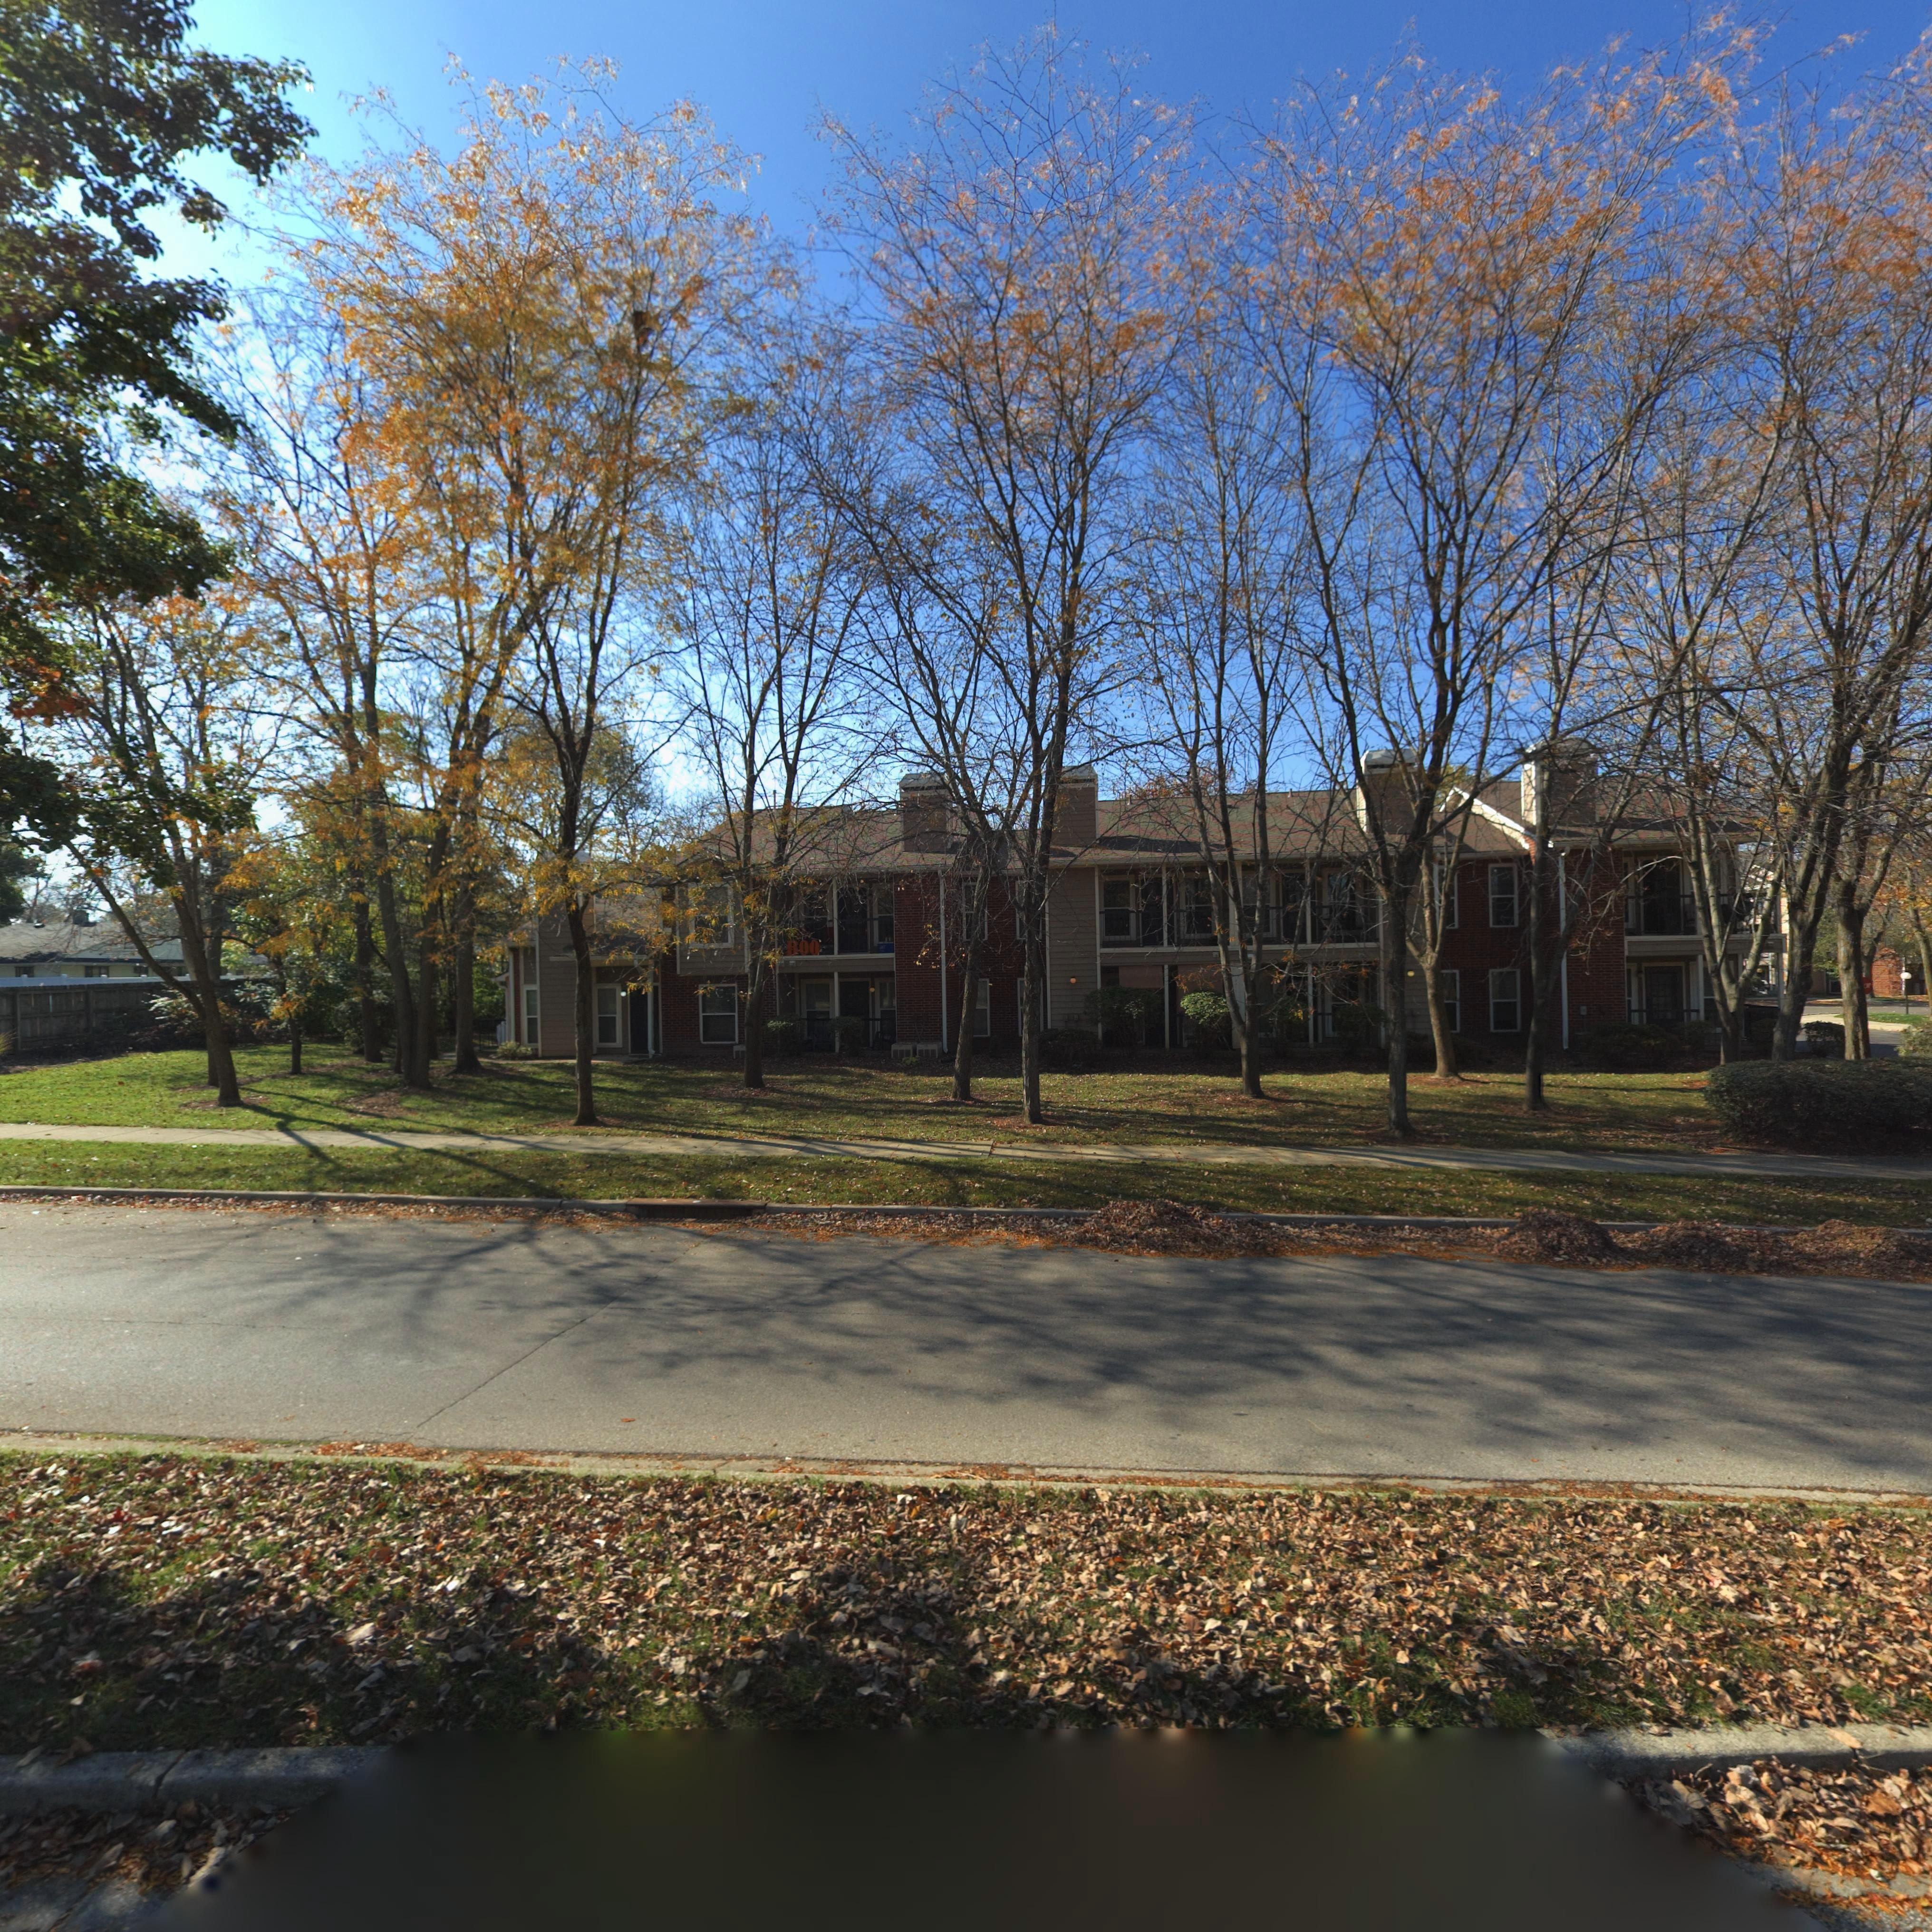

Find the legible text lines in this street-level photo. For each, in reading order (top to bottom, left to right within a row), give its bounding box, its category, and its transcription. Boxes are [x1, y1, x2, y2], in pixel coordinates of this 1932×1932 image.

[786, 939, 821, 956] None: BOO